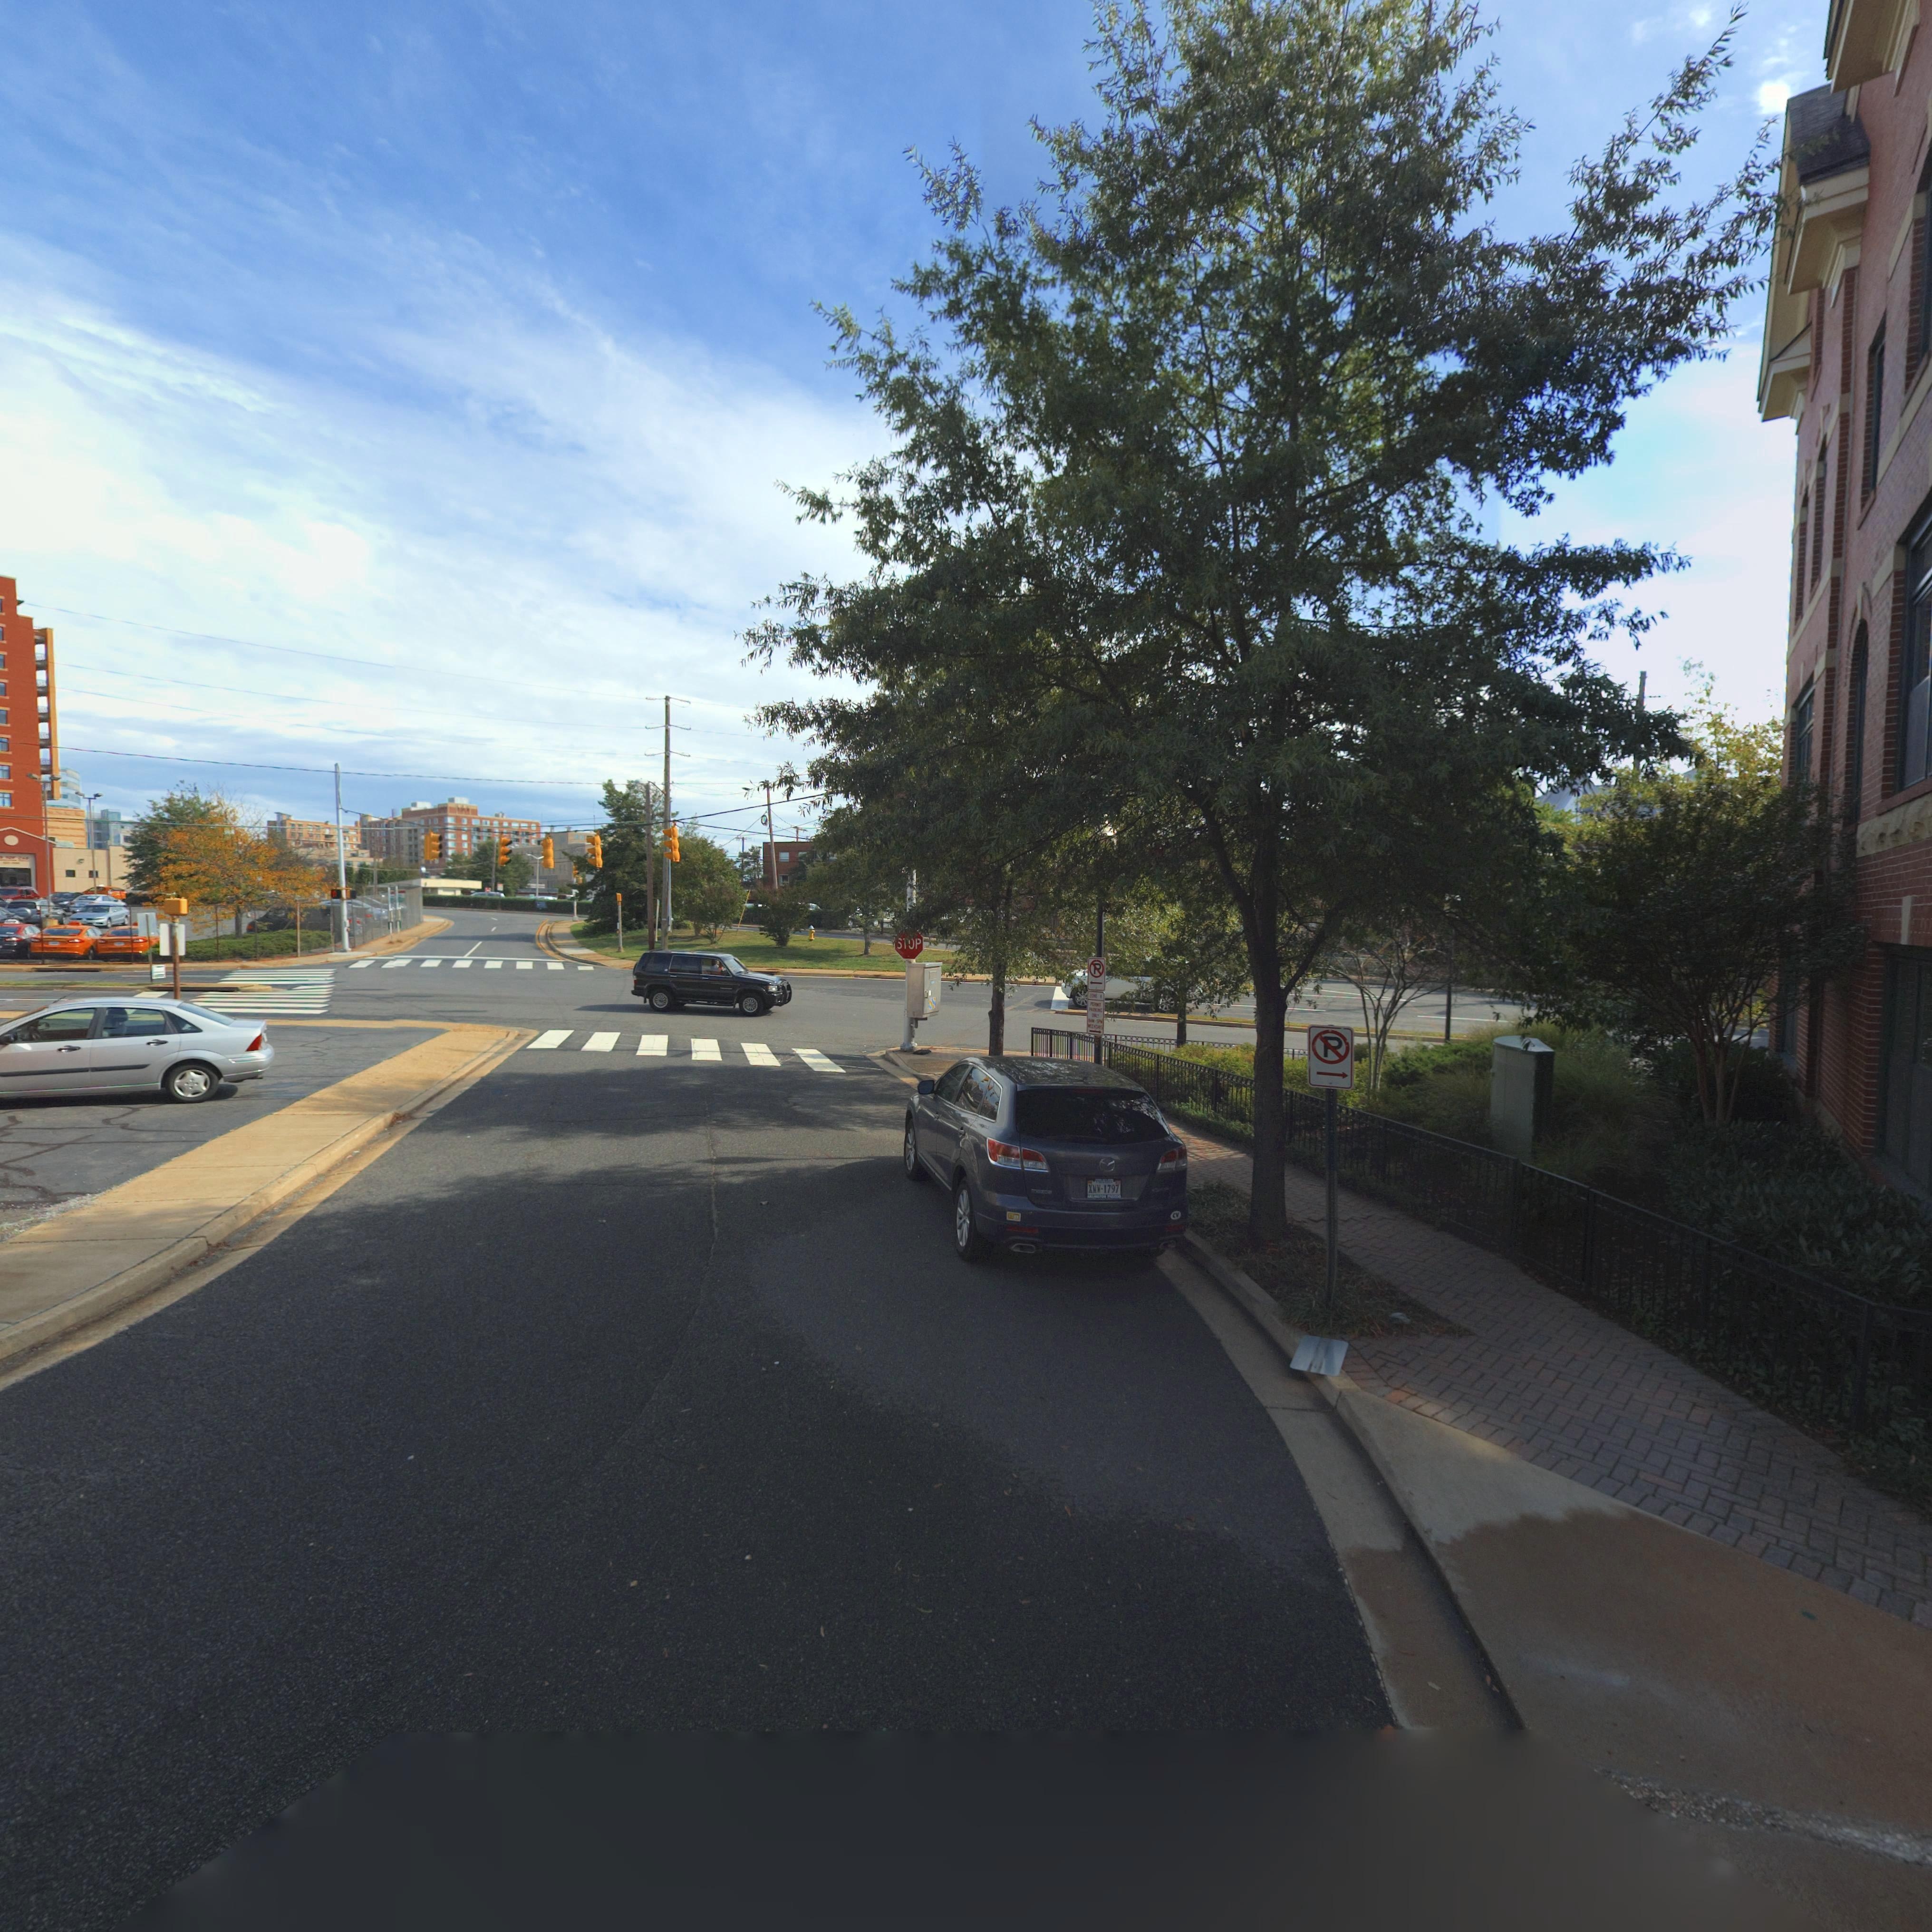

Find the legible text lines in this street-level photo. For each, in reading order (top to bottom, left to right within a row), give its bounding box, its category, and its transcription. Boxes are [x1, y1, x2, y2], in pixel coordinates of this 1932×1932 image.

[915, 937, 922, 950] None: P
[1088, 1183, 1121, 1195] None: XWW-1797